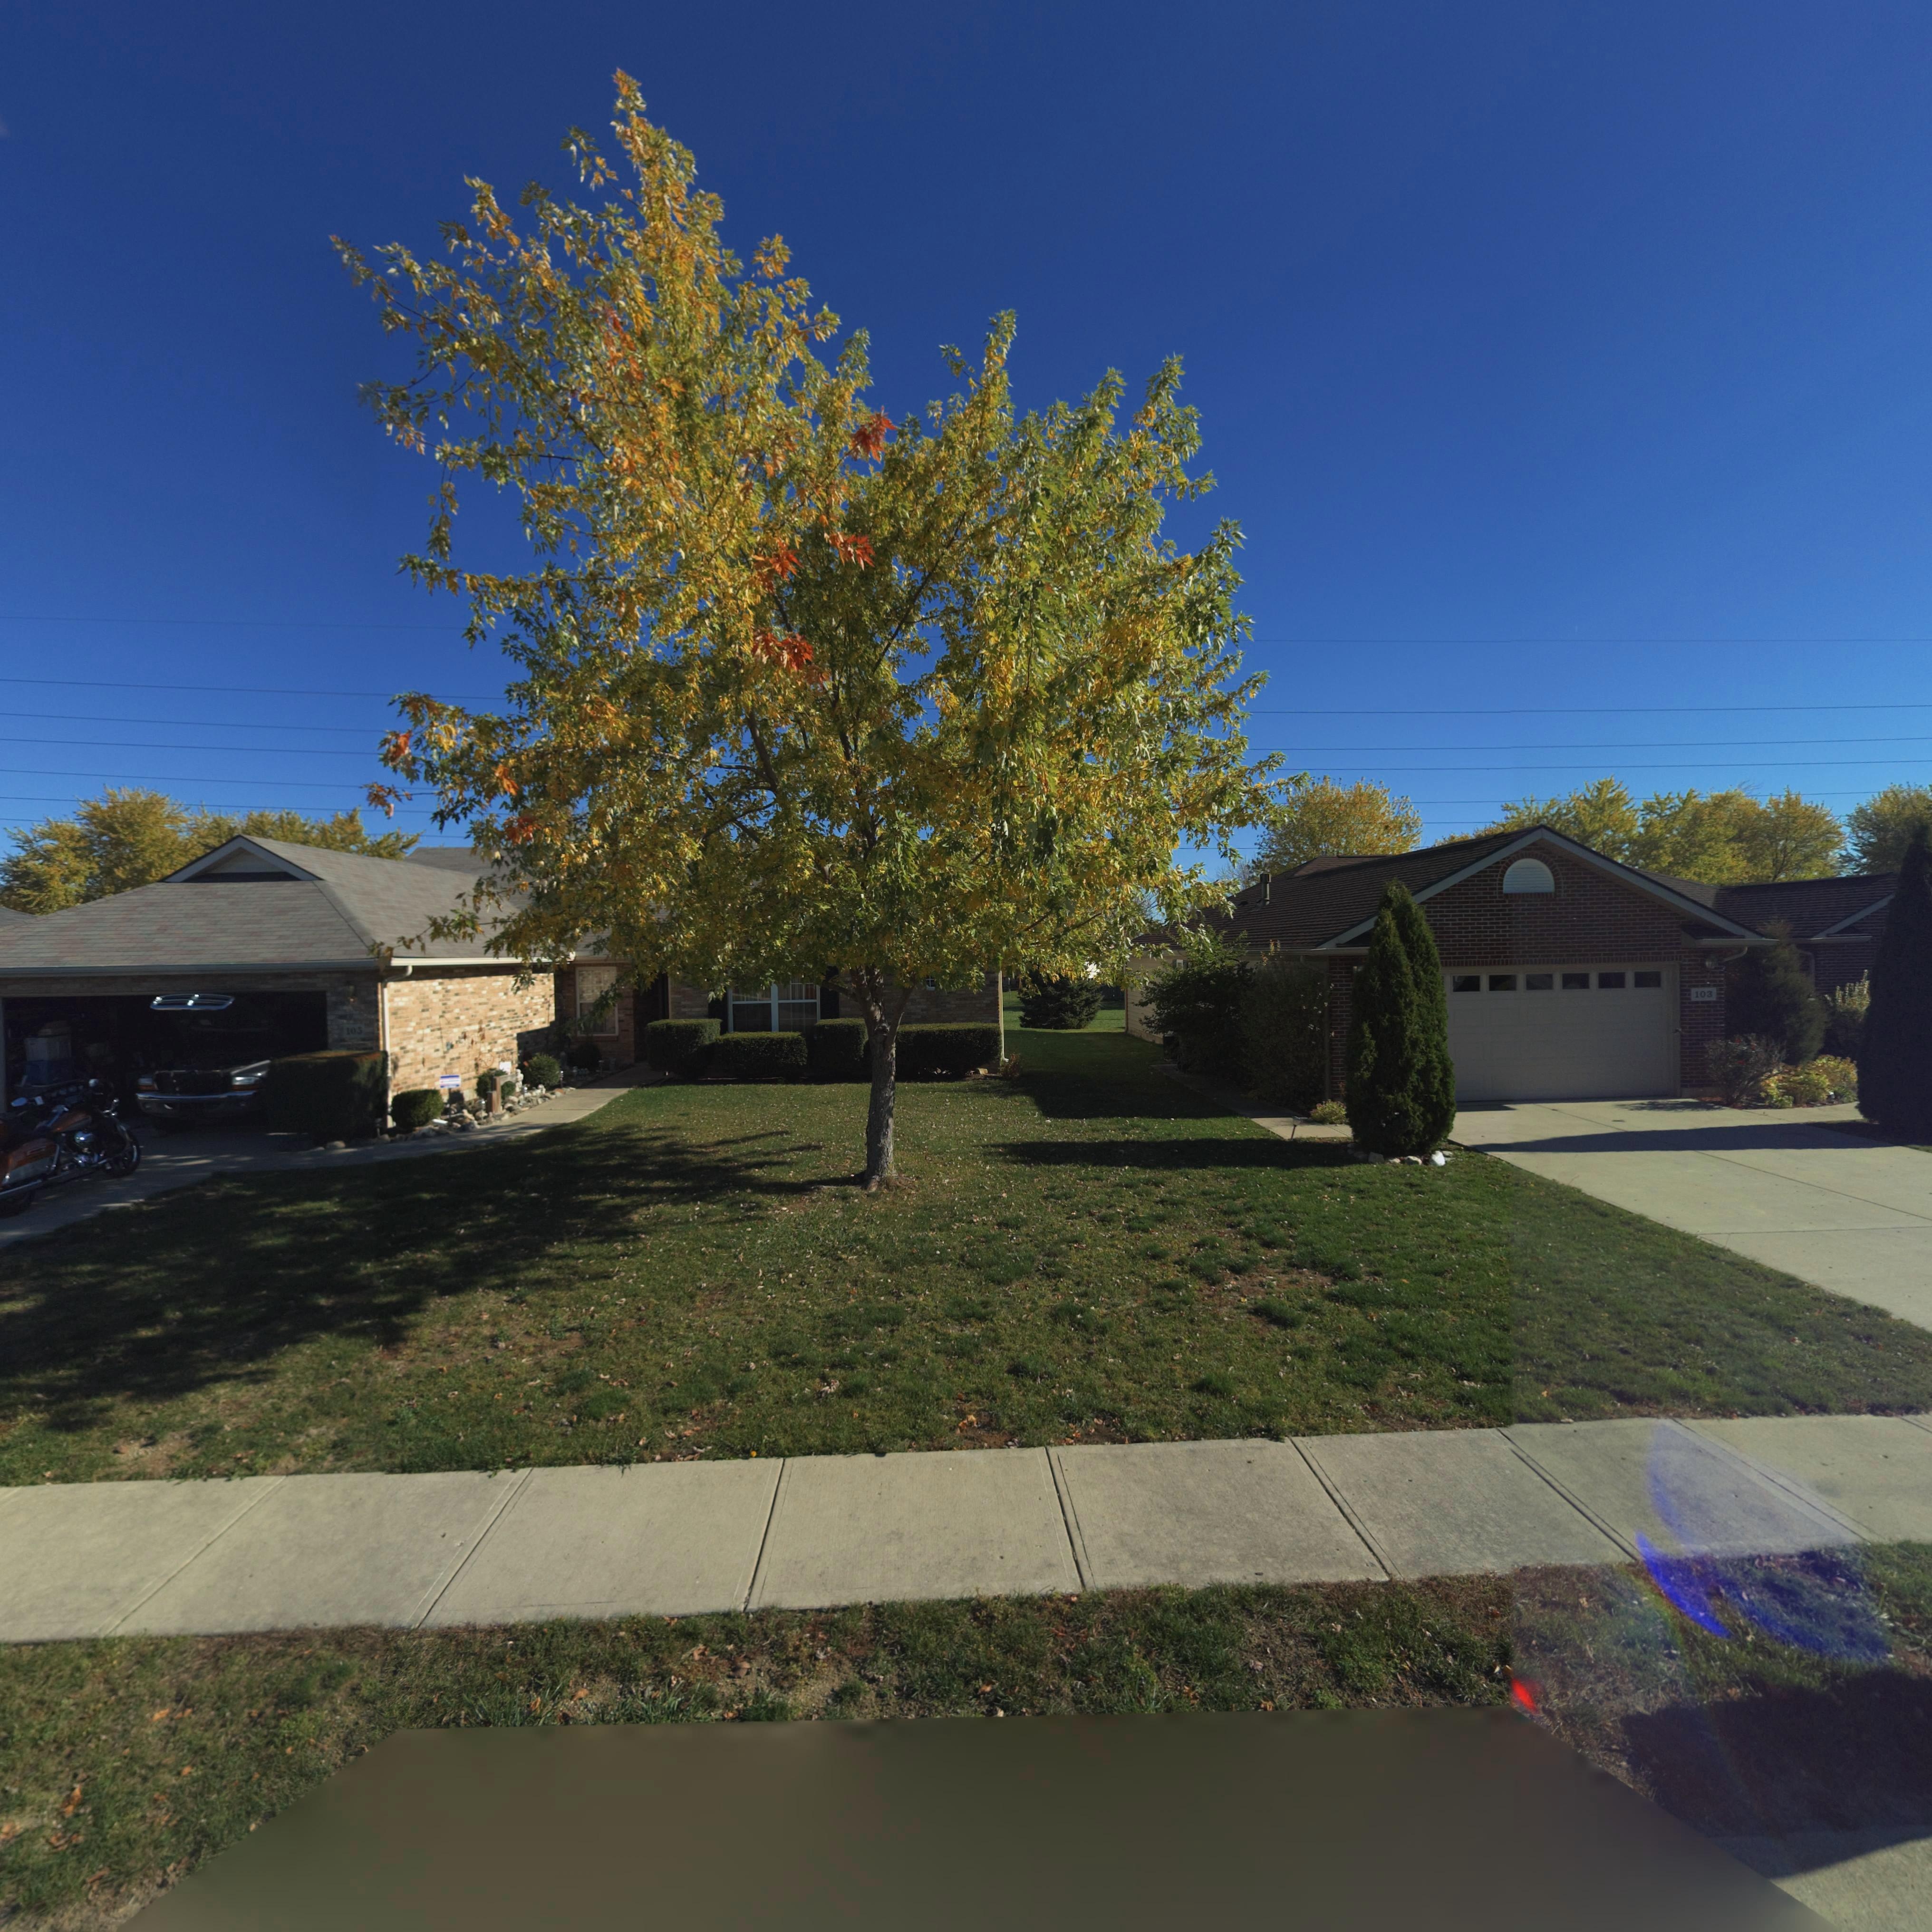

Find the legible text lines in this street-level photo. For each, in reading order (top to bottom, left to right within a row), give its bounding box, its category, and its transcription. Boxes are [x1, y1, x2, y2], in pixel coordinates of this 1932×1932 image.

[1694, 989, 1714, 999] StreetNumber: 103
[345, 1026, 363, 1035] StreetNumber: 105